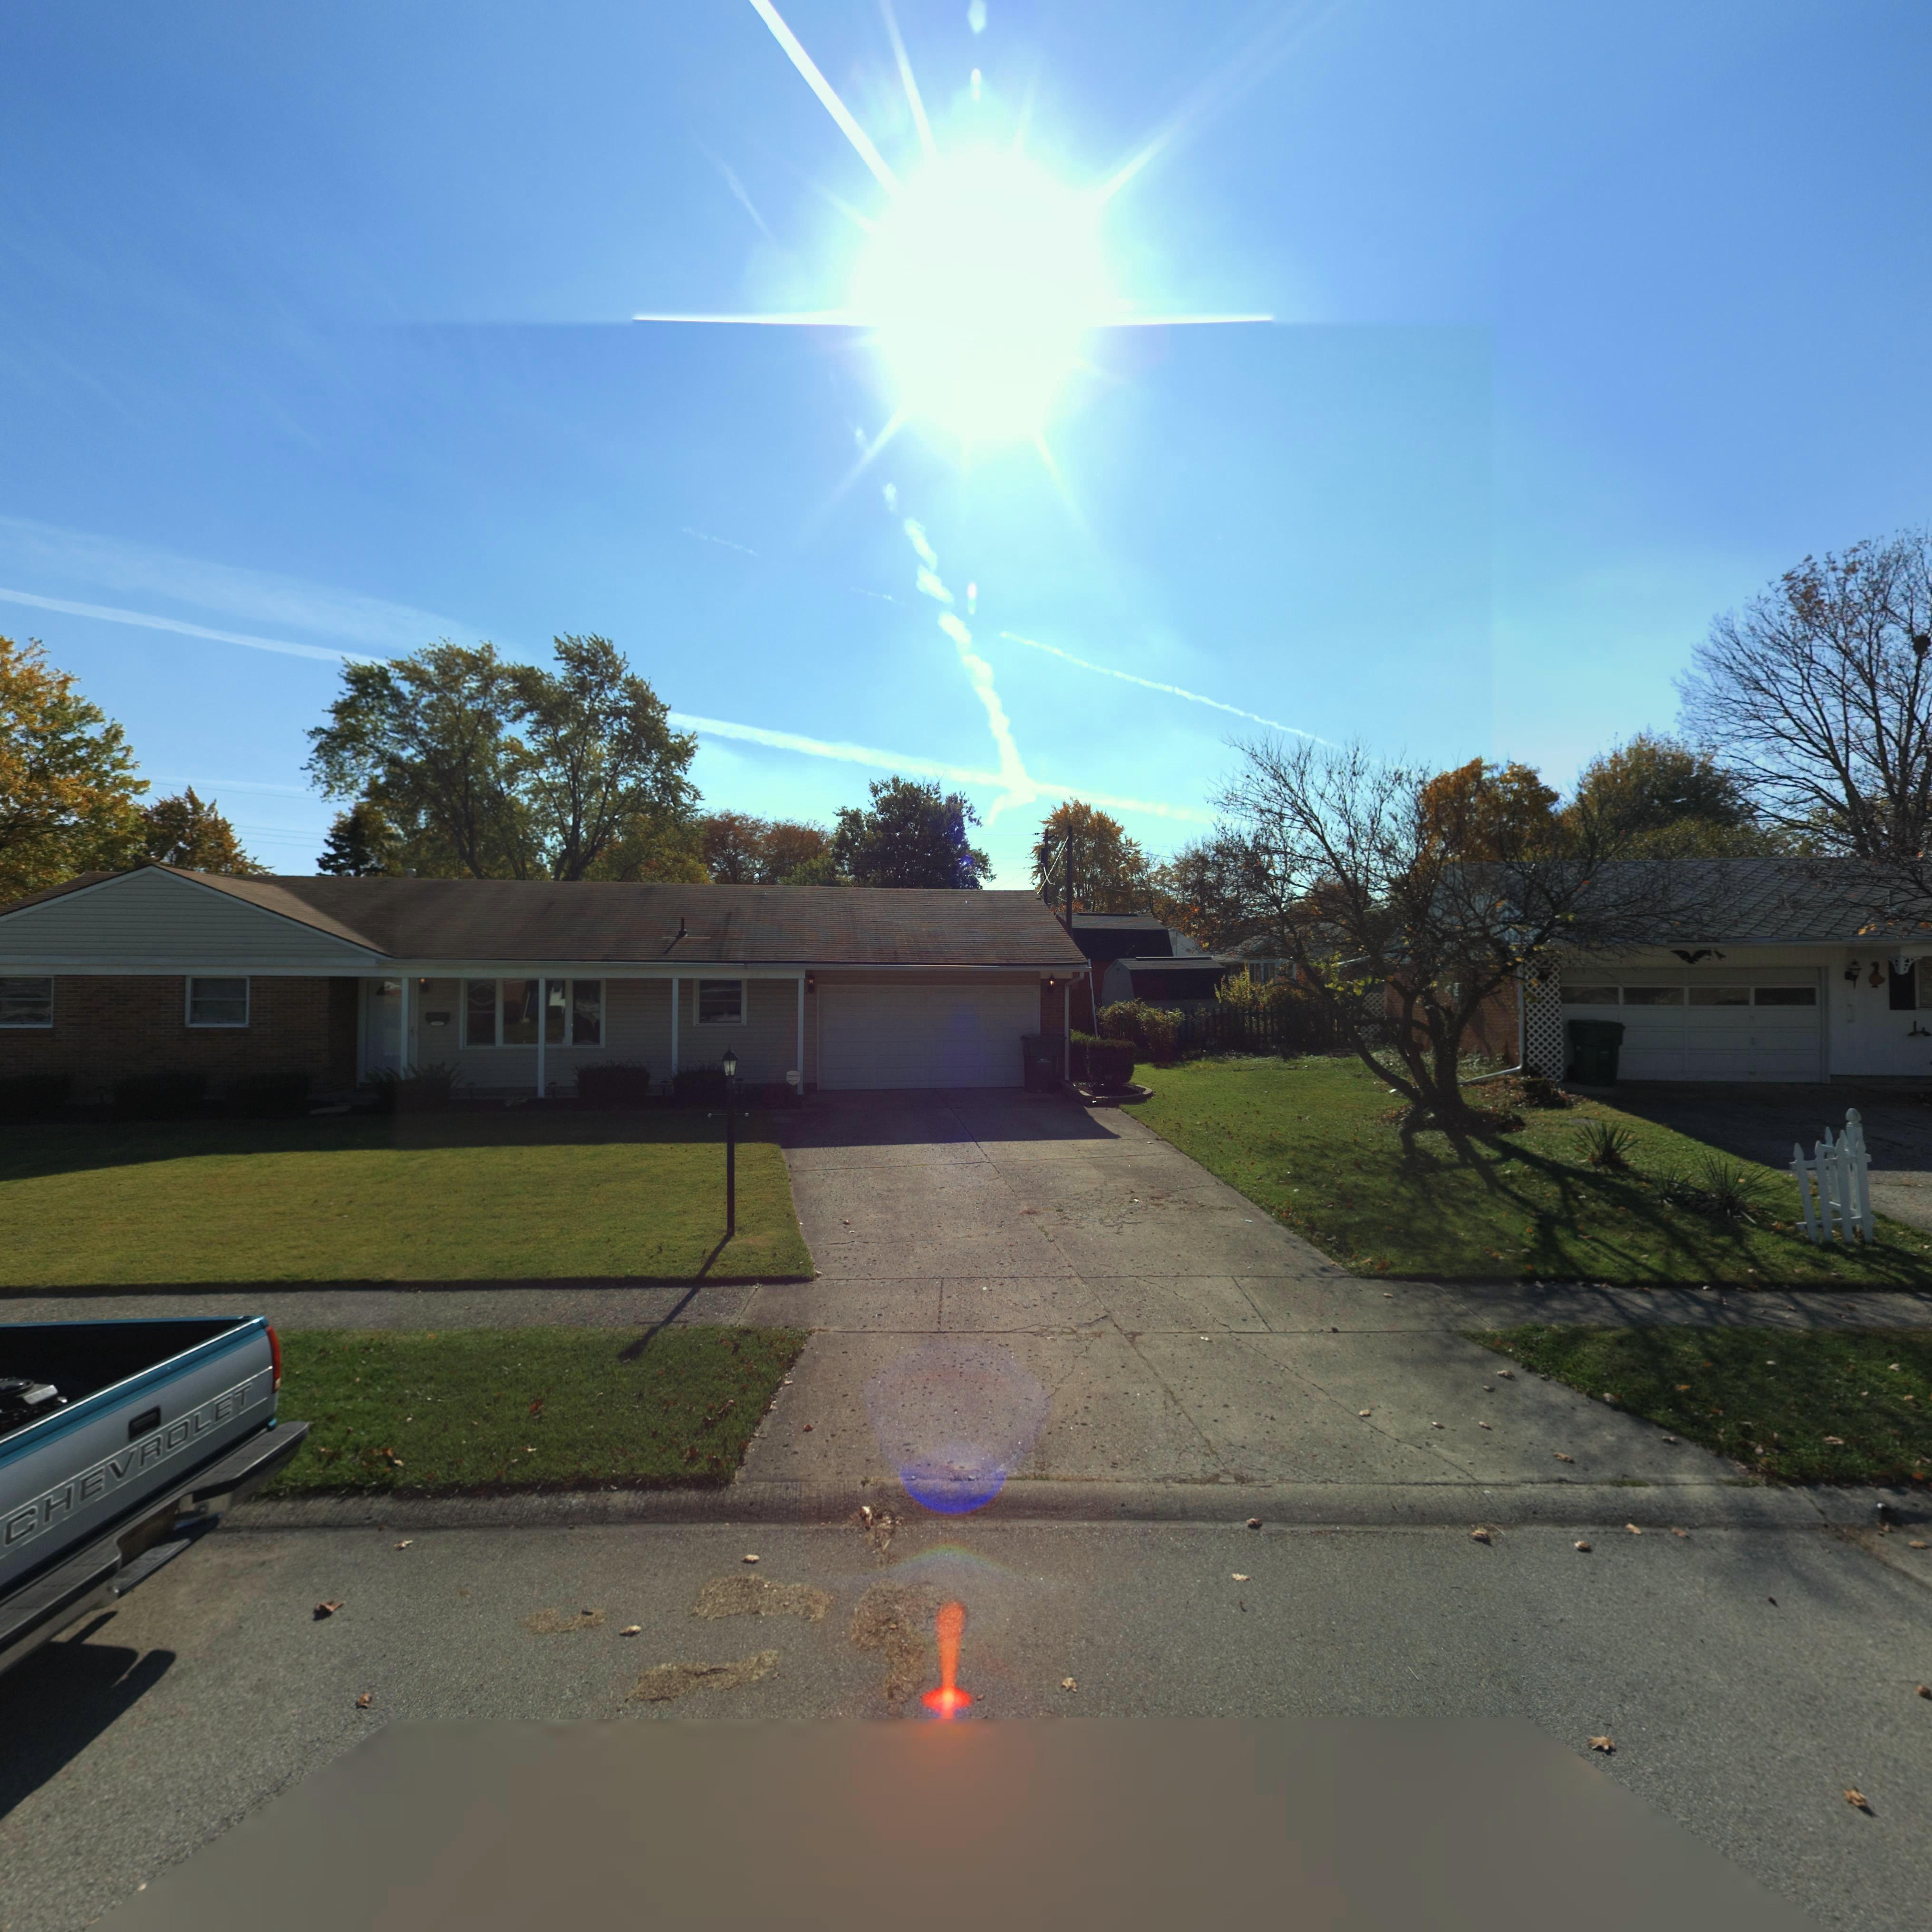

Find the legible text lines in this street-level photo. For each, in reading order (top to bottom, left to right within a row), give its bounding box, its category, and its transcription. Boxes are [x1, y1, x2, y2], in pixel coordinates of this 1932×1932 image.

[2, 1380, 255, 1552] None: CHEVROLET